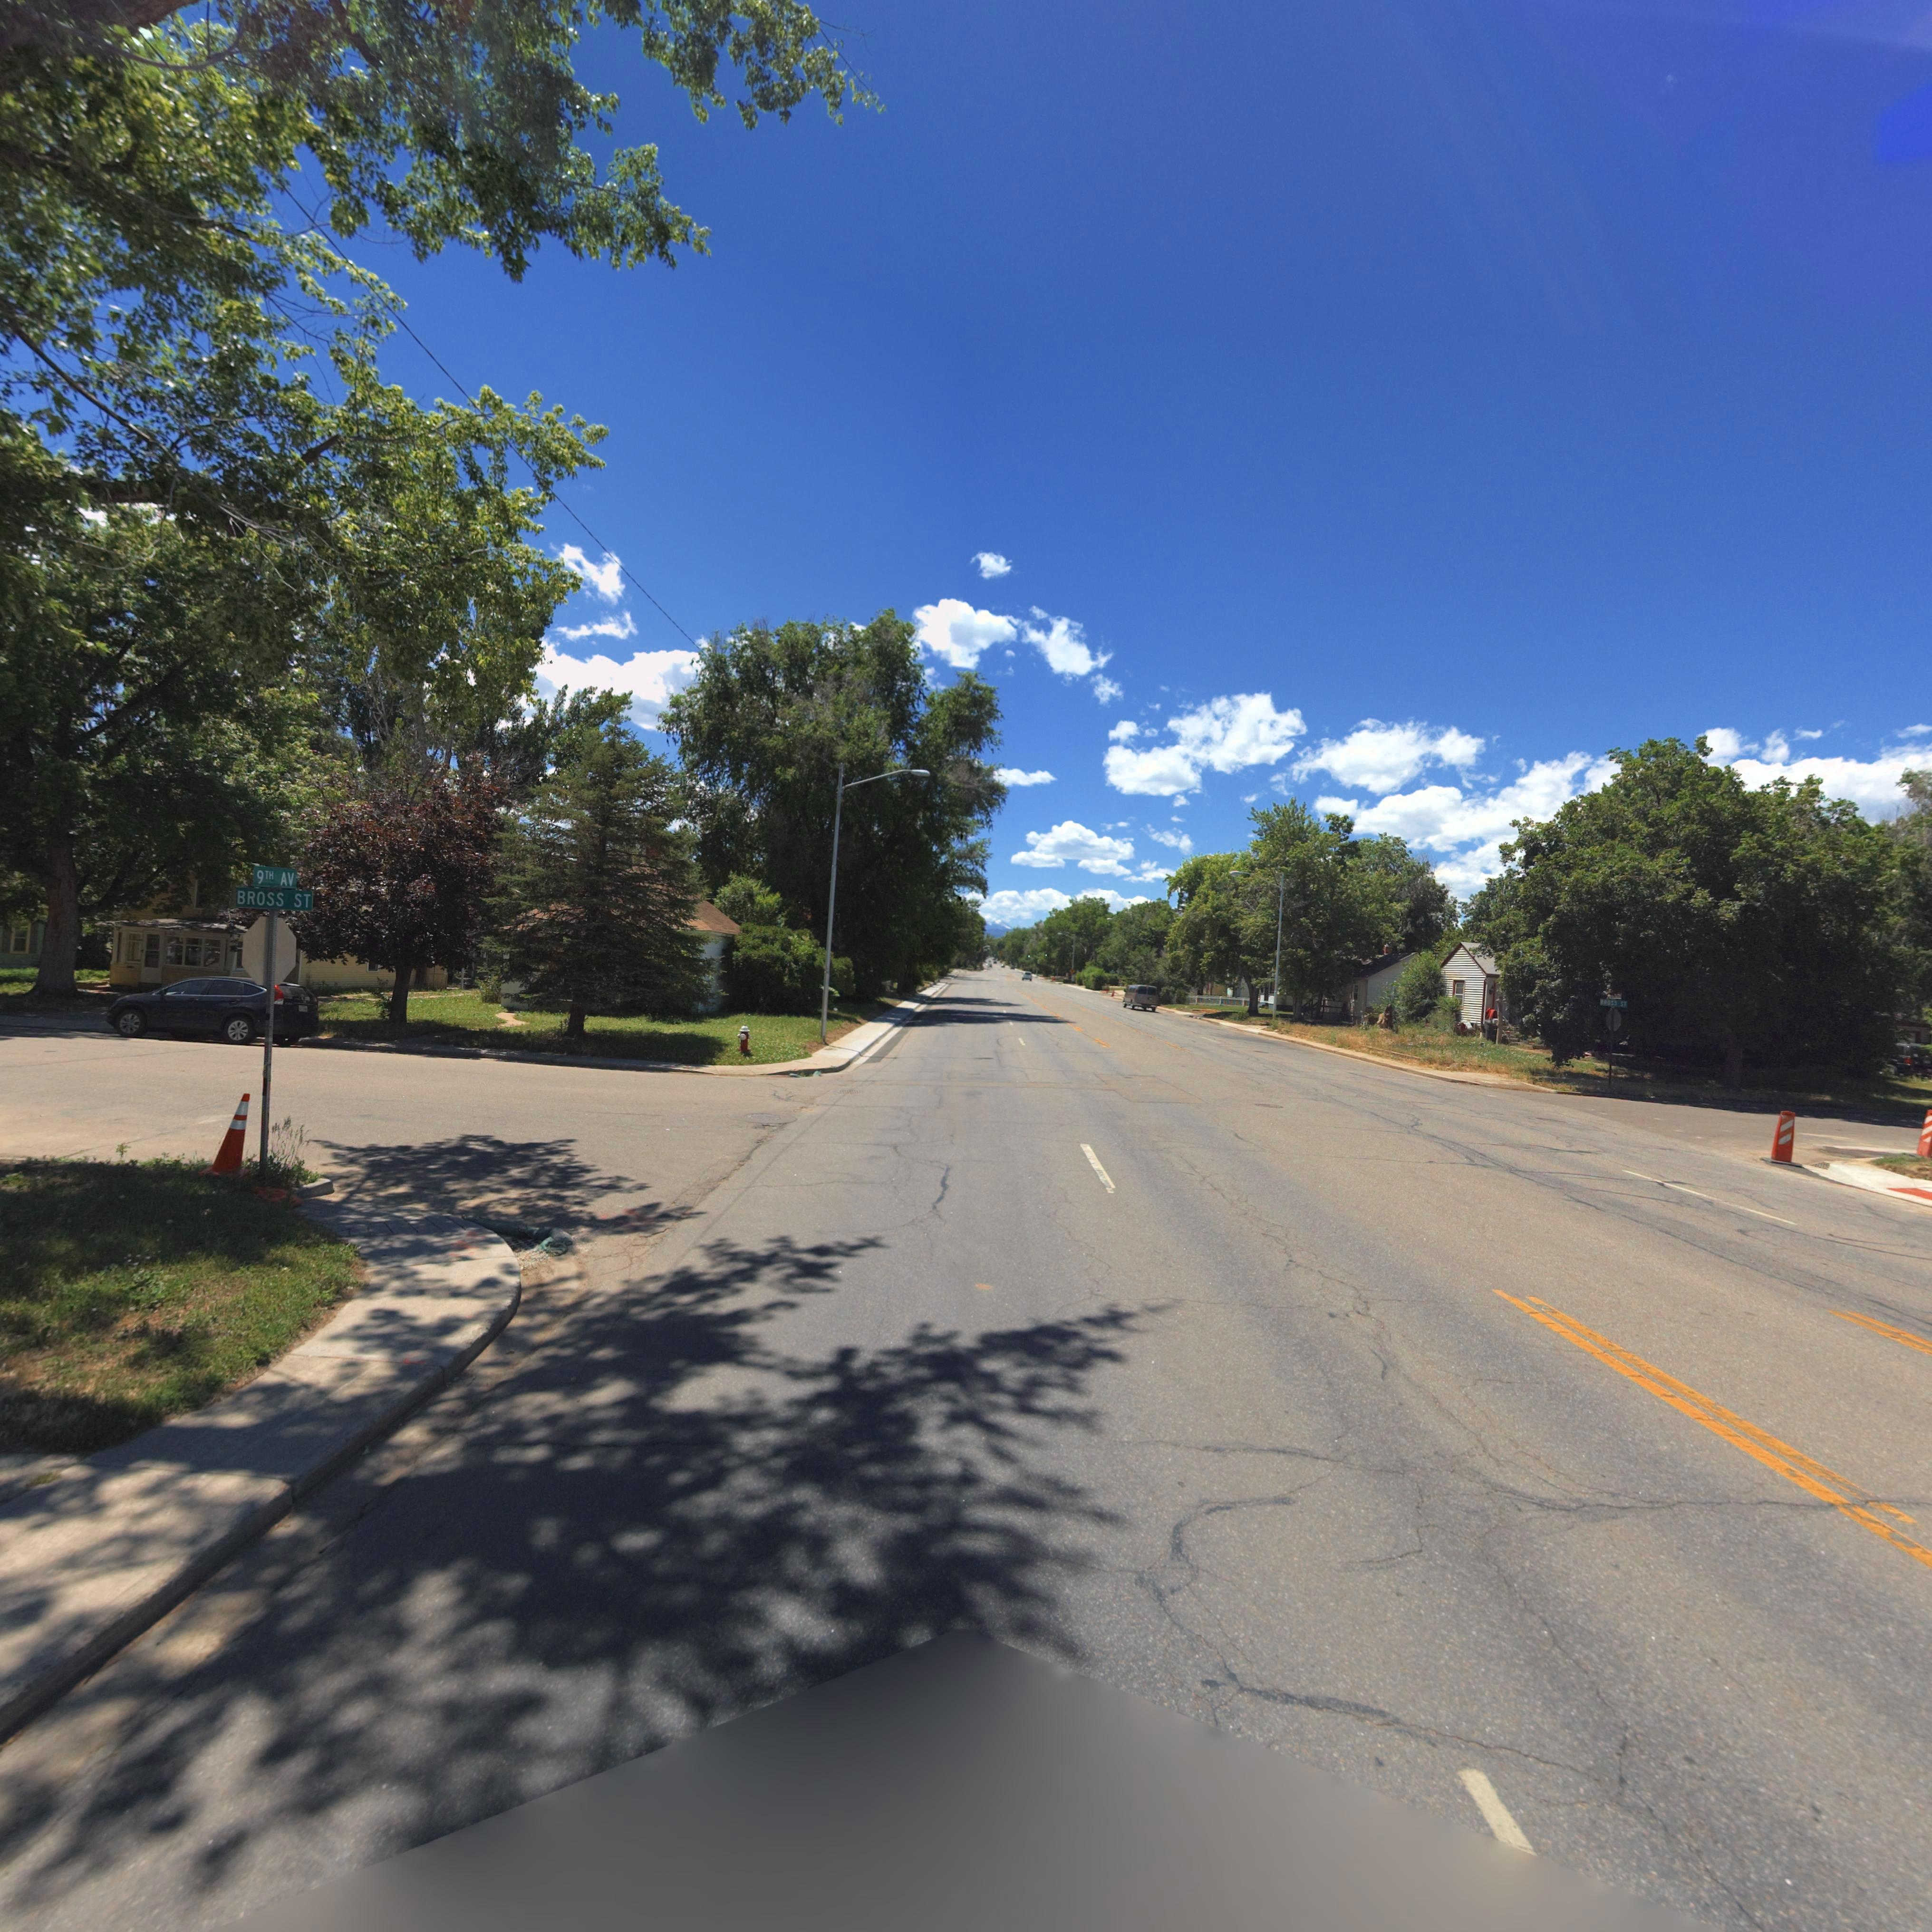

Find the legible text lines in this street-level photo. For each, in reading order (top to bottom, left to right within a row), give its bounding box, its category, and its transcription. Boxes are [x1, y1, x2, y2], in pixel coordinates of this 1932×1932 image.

[256, 869, 295, 887] StreetName: 9TH AV
[237, 890, 311, 908] StreetName: BROSS ST
[1600, 999, 1626, 1006] StreetName: BROSS ST